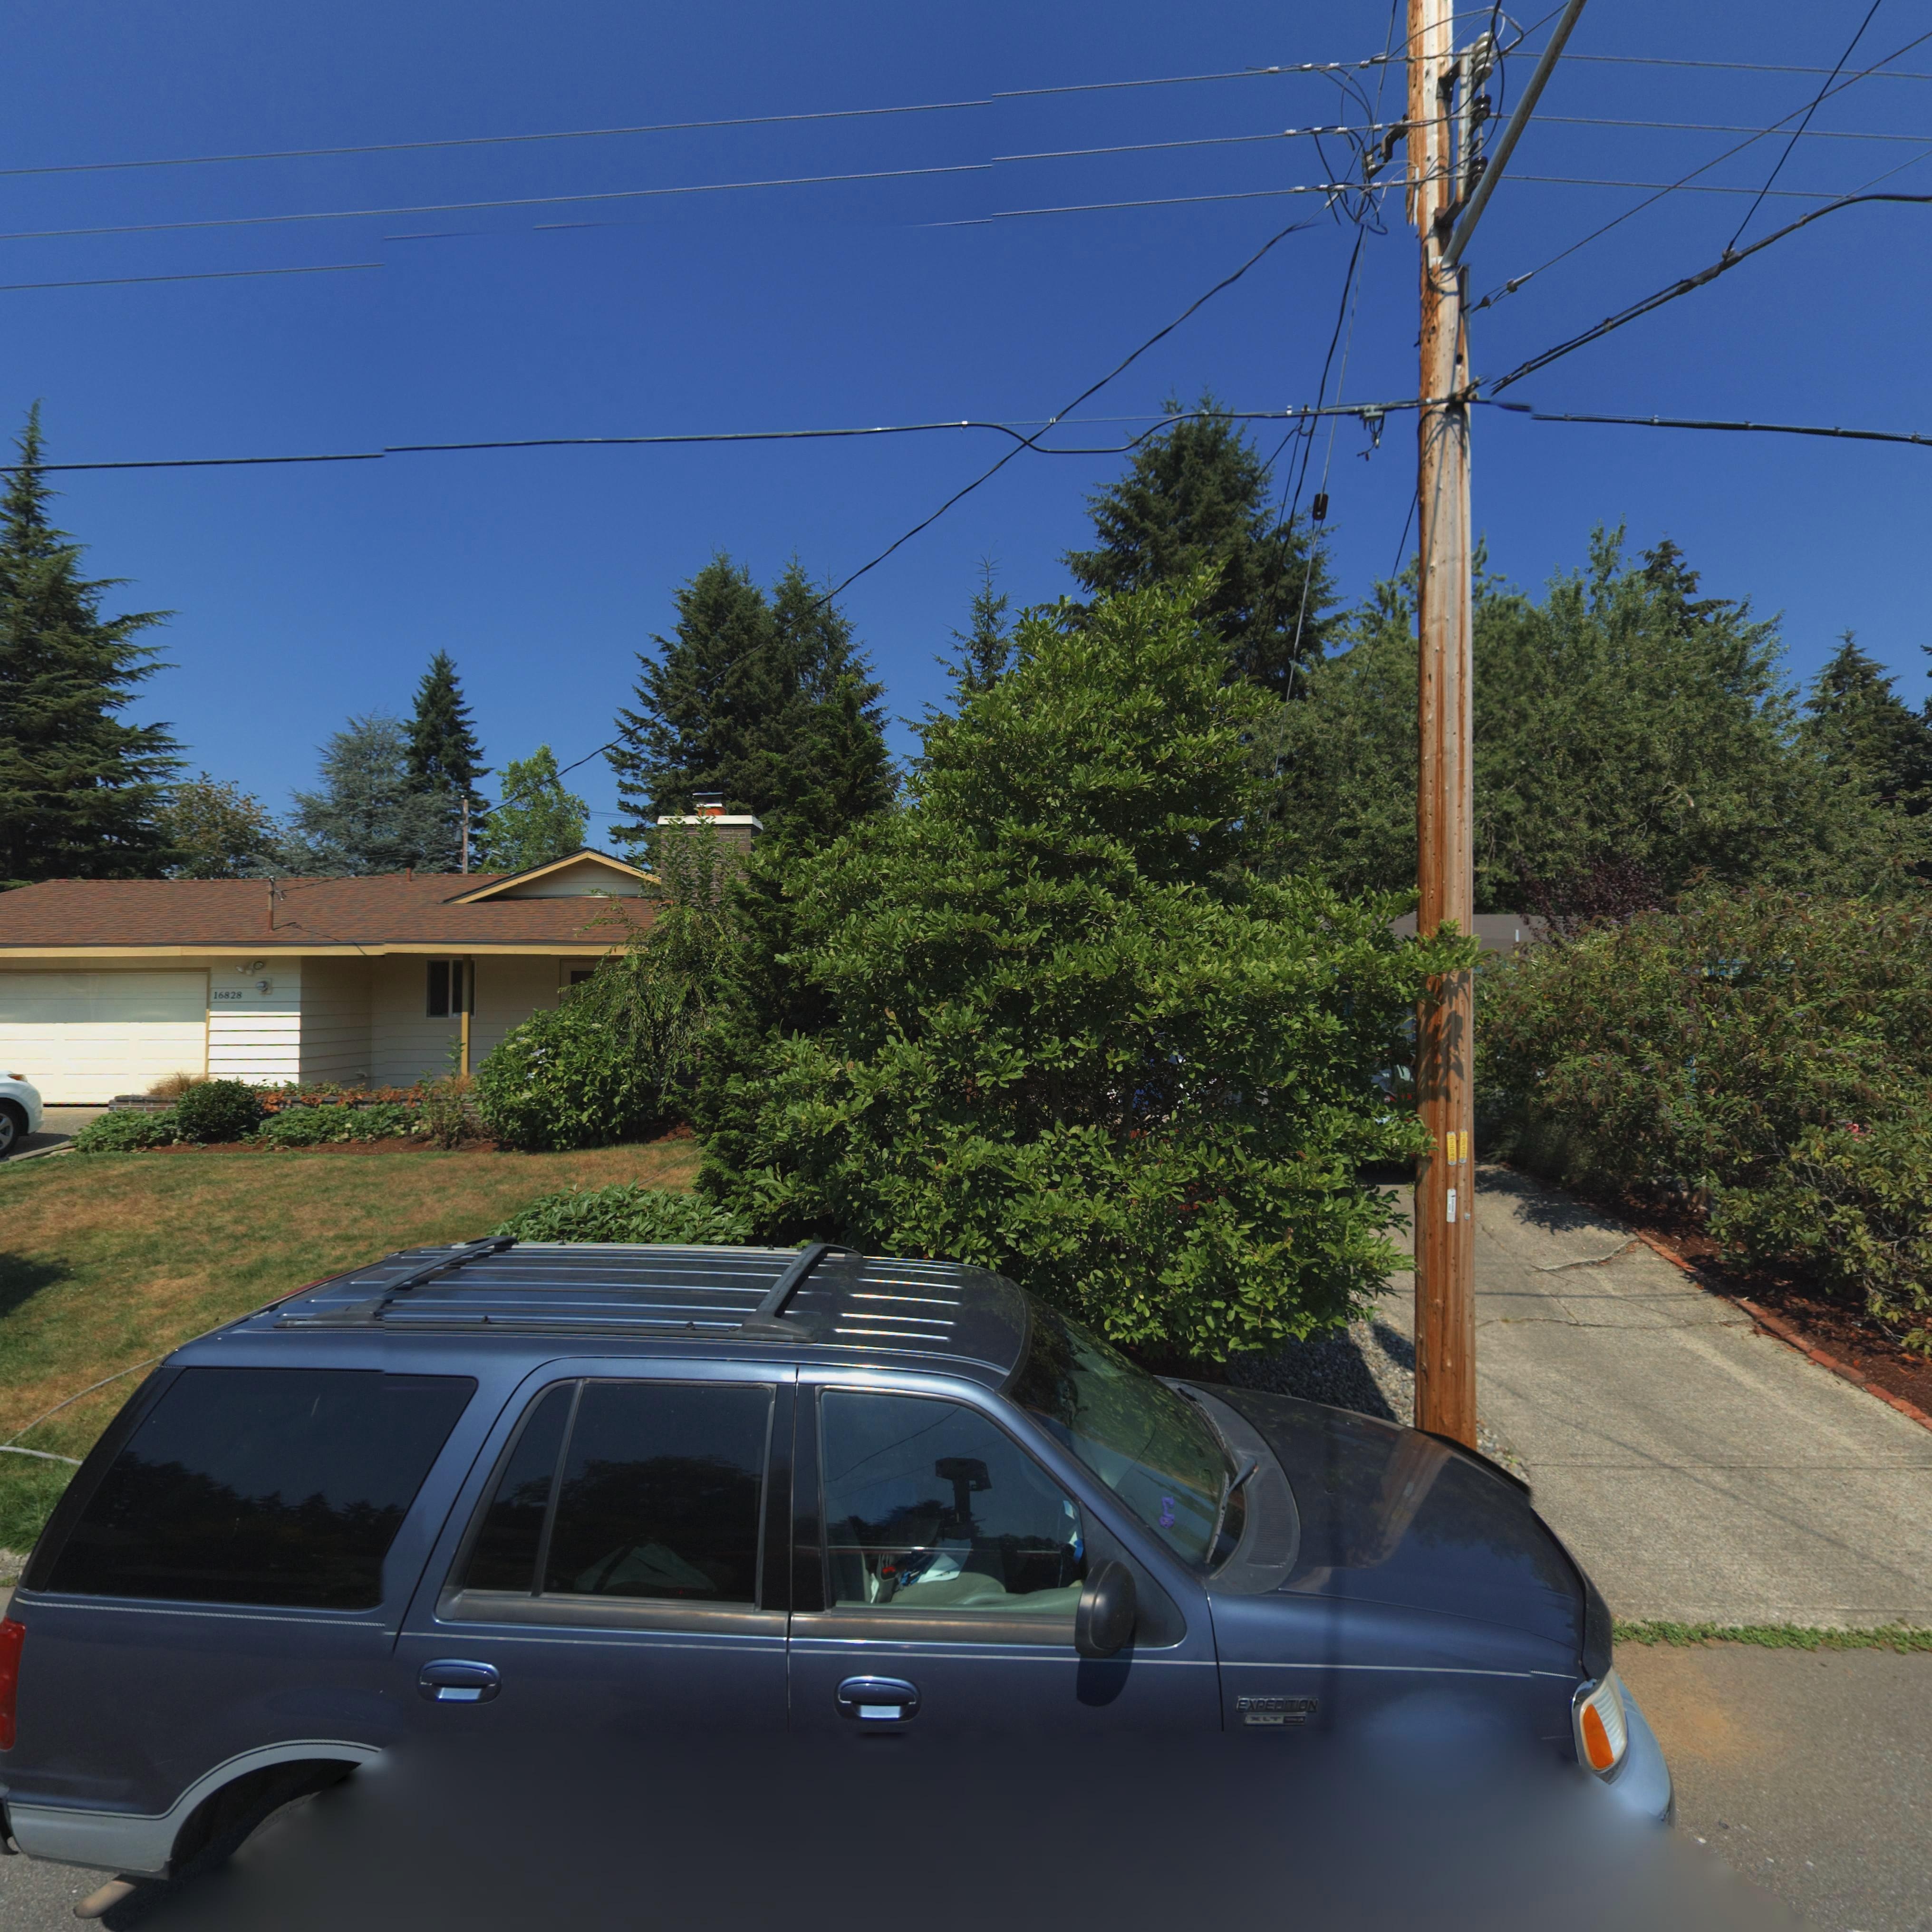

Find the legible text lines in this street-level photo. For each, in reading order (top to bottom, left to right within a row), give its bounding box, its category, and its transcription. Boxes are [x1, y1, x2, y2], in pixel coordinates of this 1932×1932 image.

[212, 989, 243, 999] StreetNumber: 16828